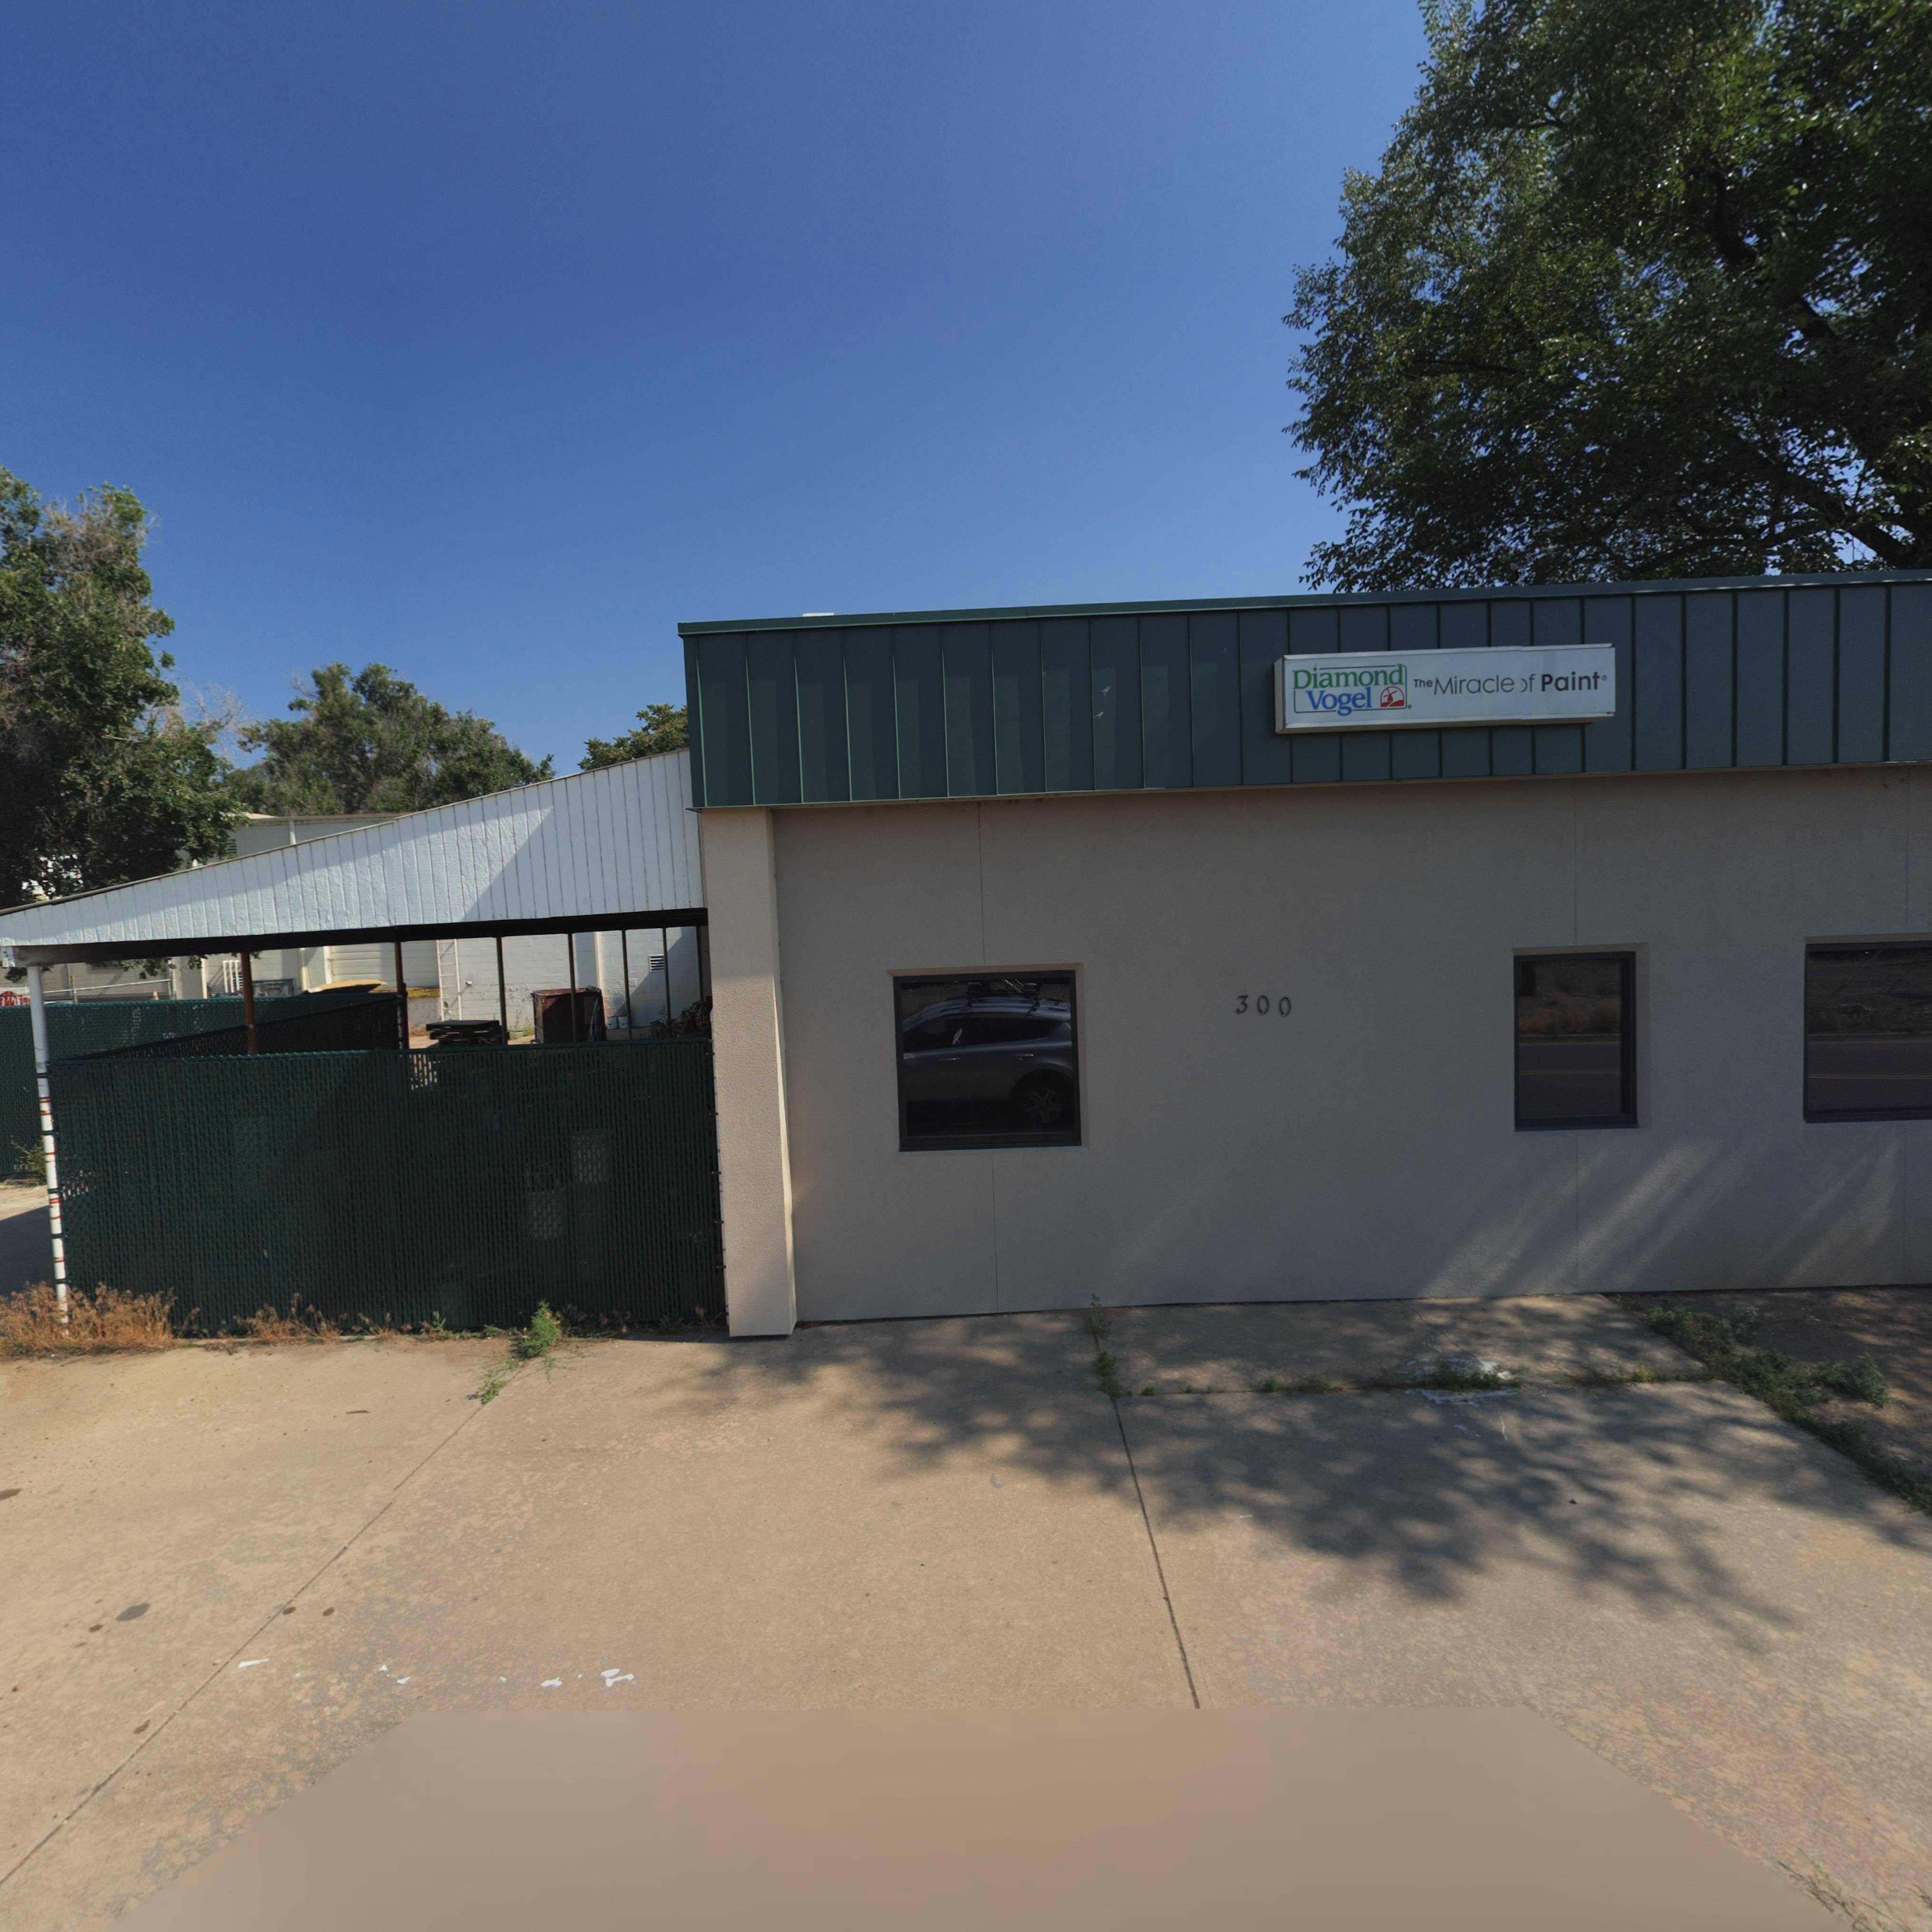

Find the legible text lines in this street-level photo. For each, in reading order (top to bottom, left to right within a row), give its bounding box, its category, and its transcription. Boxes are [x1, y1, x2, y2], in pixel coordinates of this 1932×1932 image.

[1293, 663, 1404, 689] BusinessName: Diamond
[1412, 677, 1433, 688] BusinessName: The
[1433, 670, 1602, 696] BusinessName: Miracle *f Paint
[1304, 686, 1373, 717] BusinessName: Vogel
[1235, 993, 1293, 1018] StreetNumber: 300